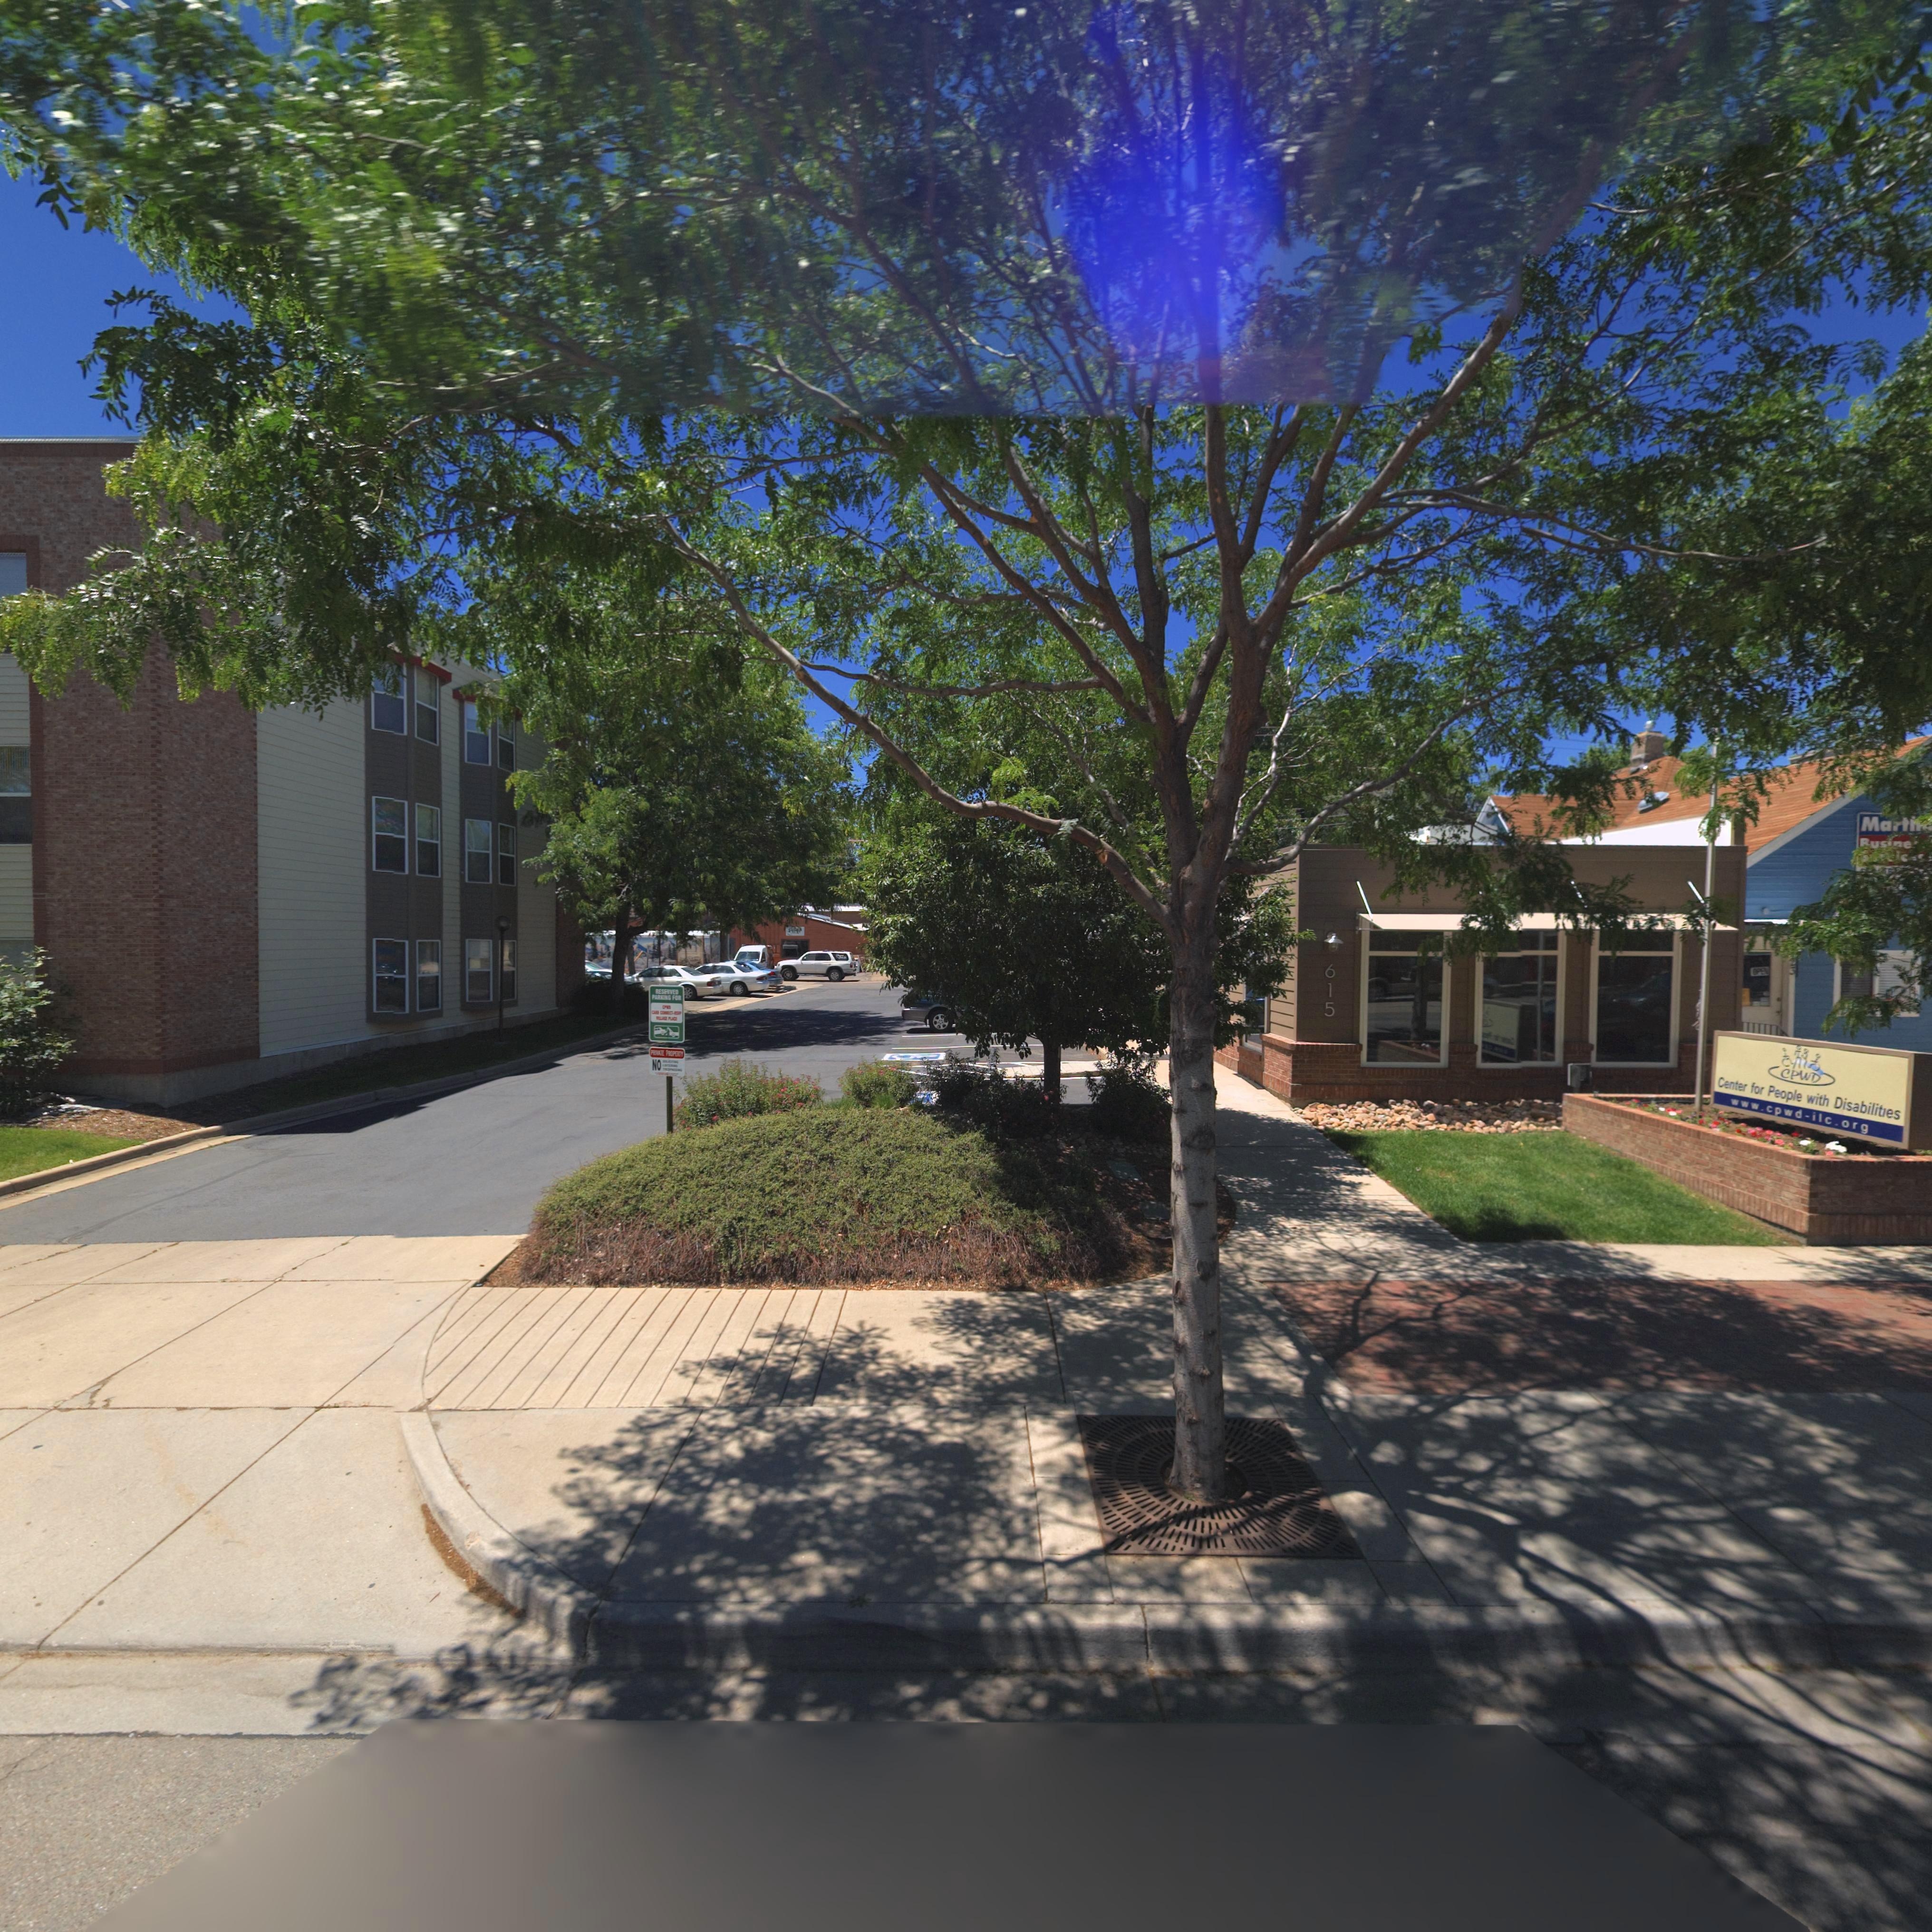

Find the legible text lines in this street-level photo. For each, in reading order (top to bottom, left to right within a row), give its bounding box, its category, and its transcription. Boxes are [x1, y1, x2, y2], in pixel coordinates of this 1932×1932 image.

[1861, 815, 1922, 831] BusinessName: Marth
[1859, 837, 1922, 850] BusinessName: Busine*
[1857, 850, 1926, 863] BusinessName: S***ice*
[1788, 956, 1796, 976] StreetNumber: 23
[1324, 963, 1335, 1017] StreetNumber: 615
[1780, 1068, 1821, 1083] BusinessName: CPWD
[1717, 1076, 1901, 1120] BusinessName: Center for People with Disabilities